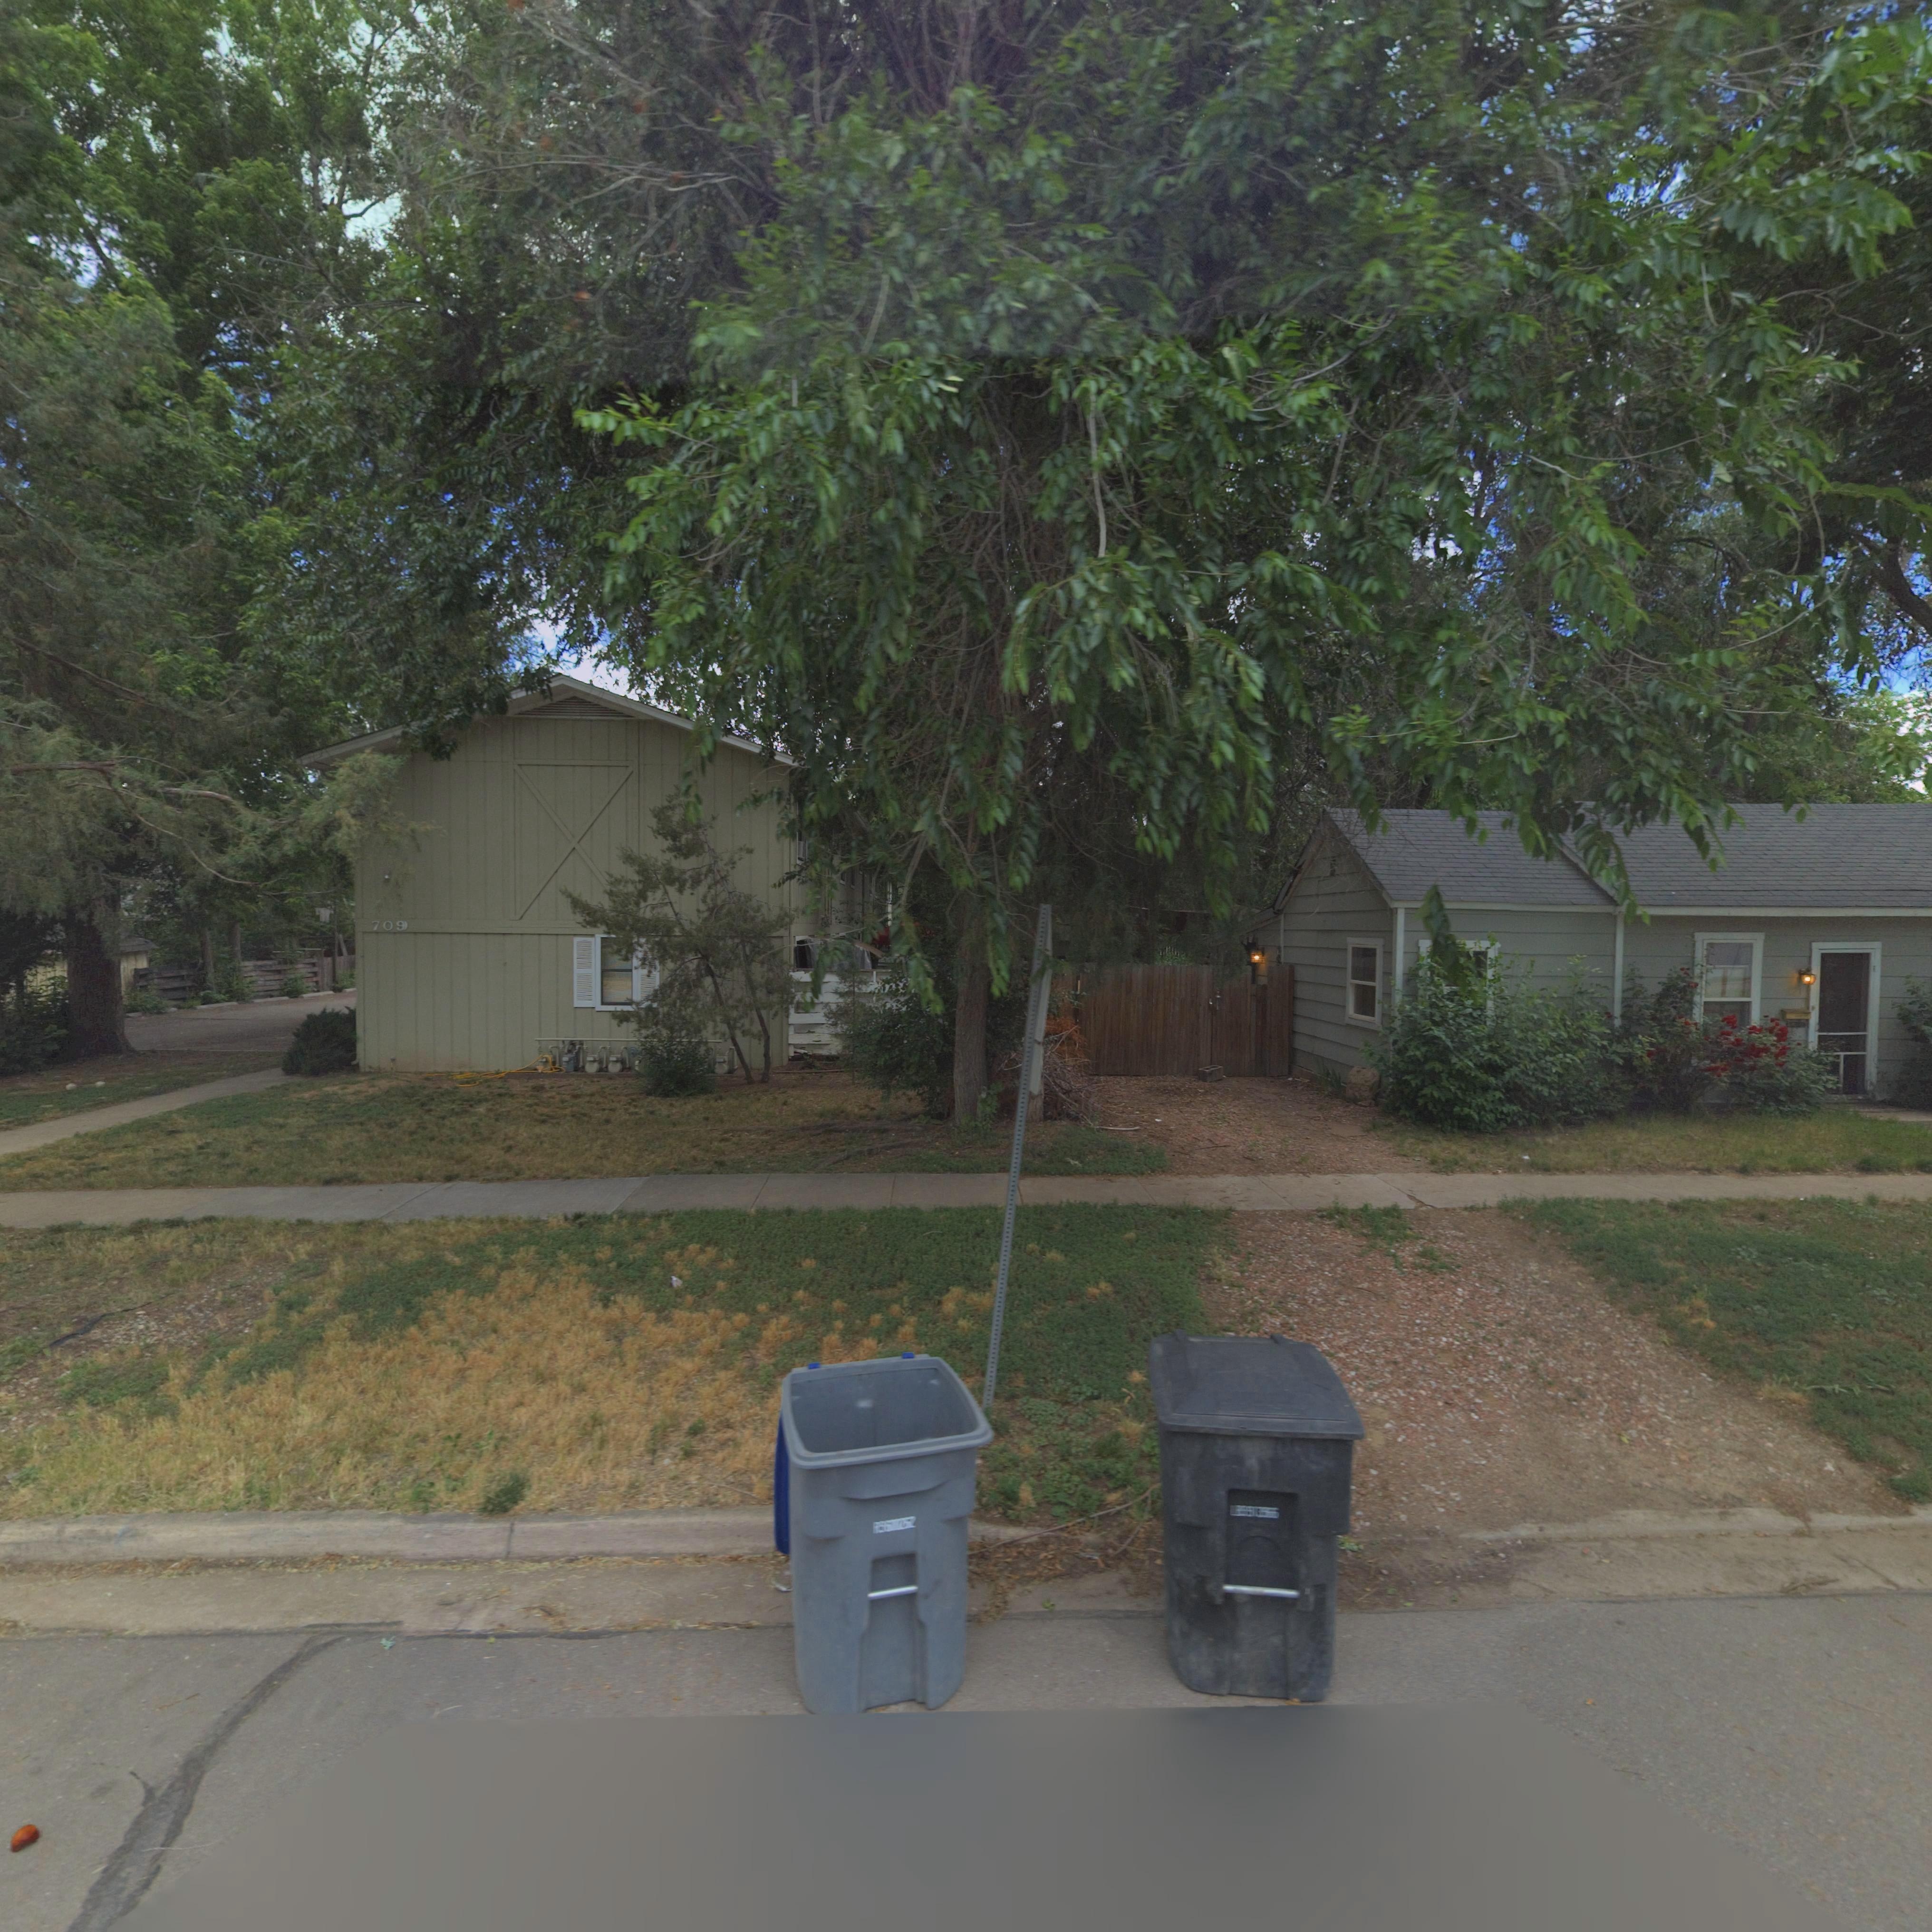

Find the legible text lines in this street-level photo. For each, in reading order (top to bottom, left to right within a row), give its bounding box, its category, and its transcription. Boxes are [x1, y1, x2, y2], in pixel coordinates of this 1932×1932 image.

[371, 919, 405, 931] StreetNumber: 709